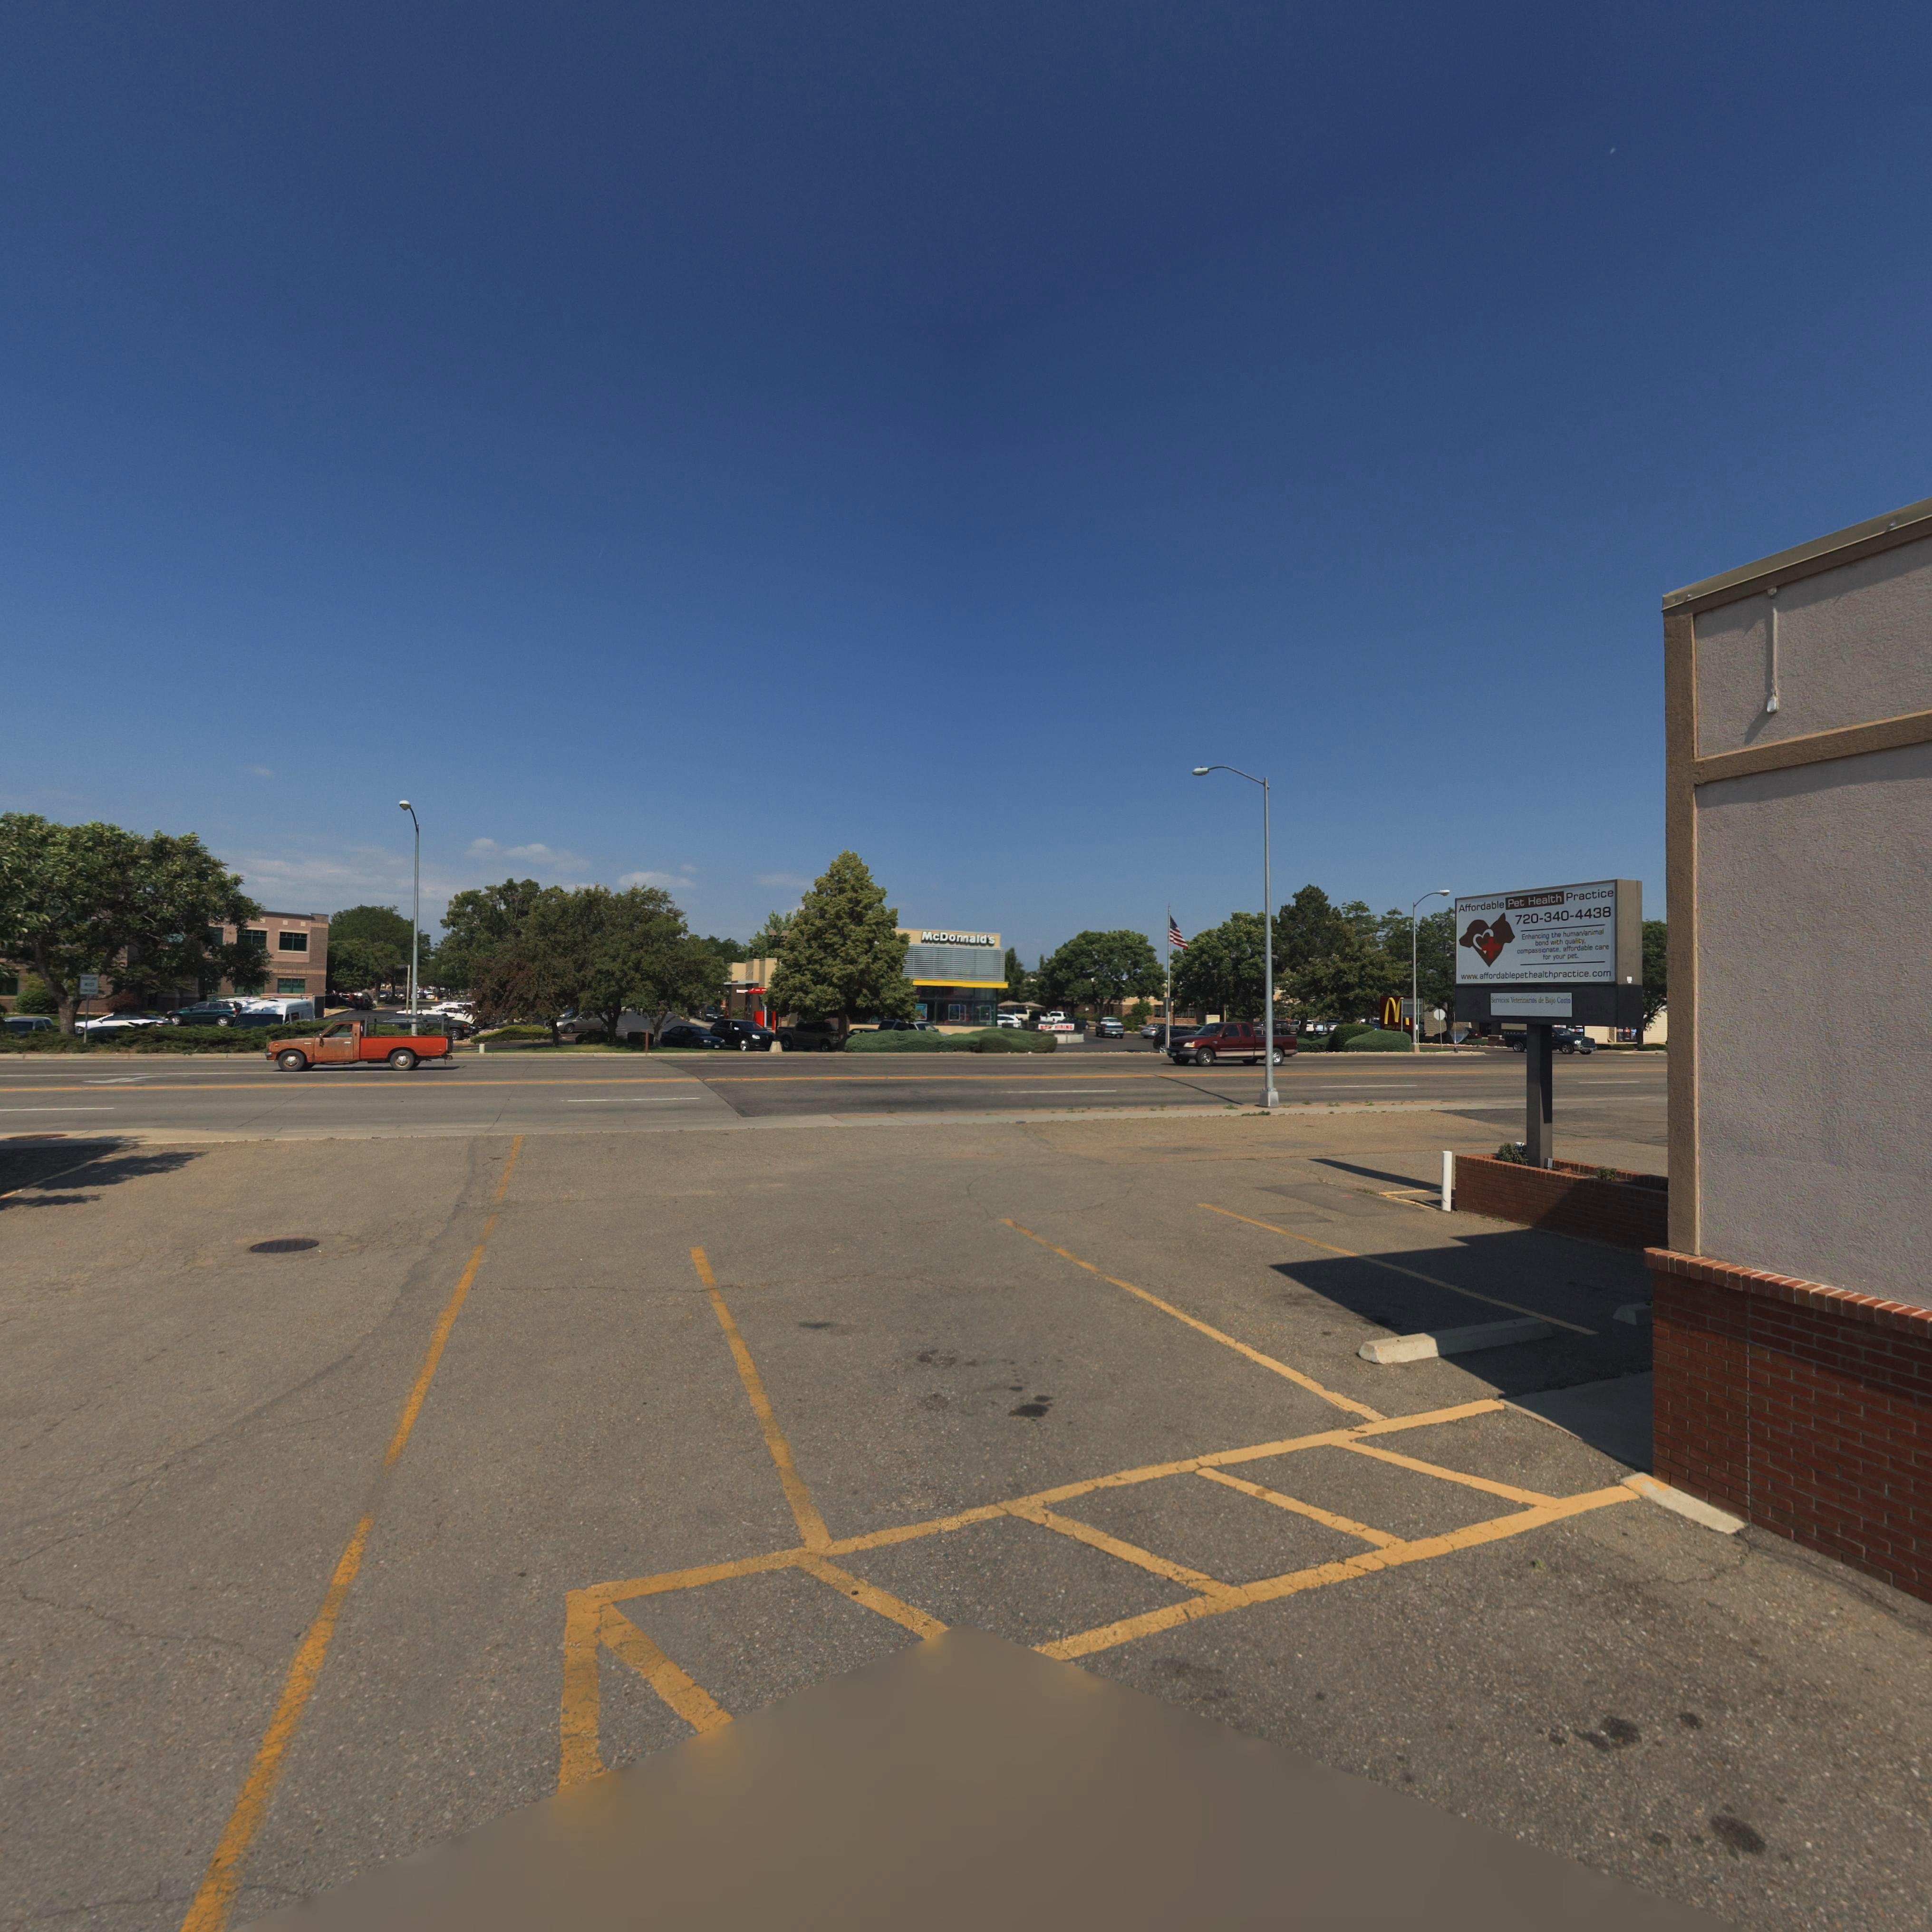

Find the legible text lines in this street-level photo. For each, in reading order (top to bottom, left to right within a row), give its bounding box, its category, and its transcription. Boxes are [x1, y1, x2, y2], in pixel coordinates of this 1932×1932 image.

[1458, 889, 1615, 913] BusinessName: Affordable Pet Health Practice
[921, 931, 996, 944] BusinessName: McDon*ald's